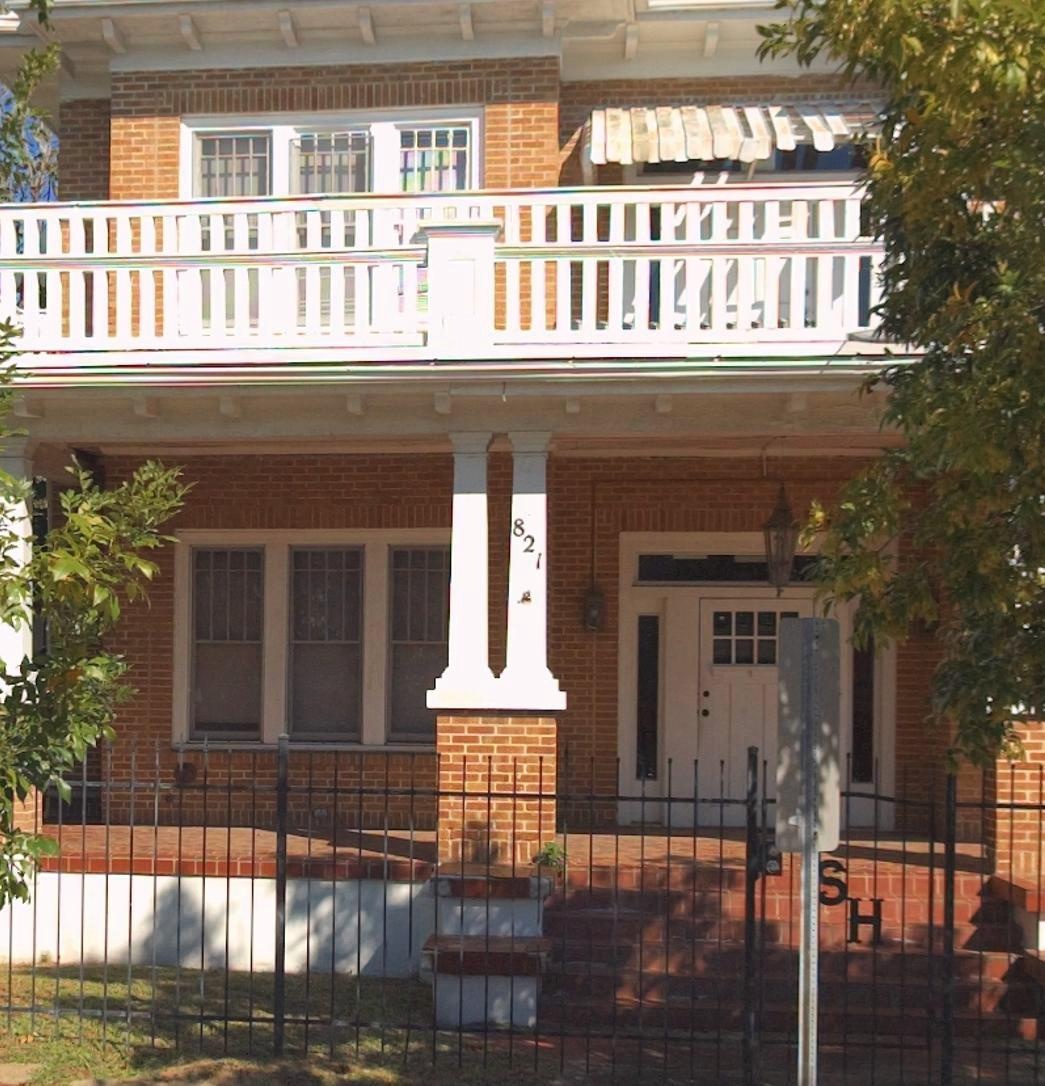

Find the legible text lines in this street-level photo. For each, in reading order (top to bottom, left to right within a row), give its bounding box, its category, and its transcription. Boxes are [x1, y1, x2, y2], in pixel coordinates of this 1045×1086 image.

[511, 513, 546, 578] StreetNumber: 821
[816, 854, 888, 949] None: SH